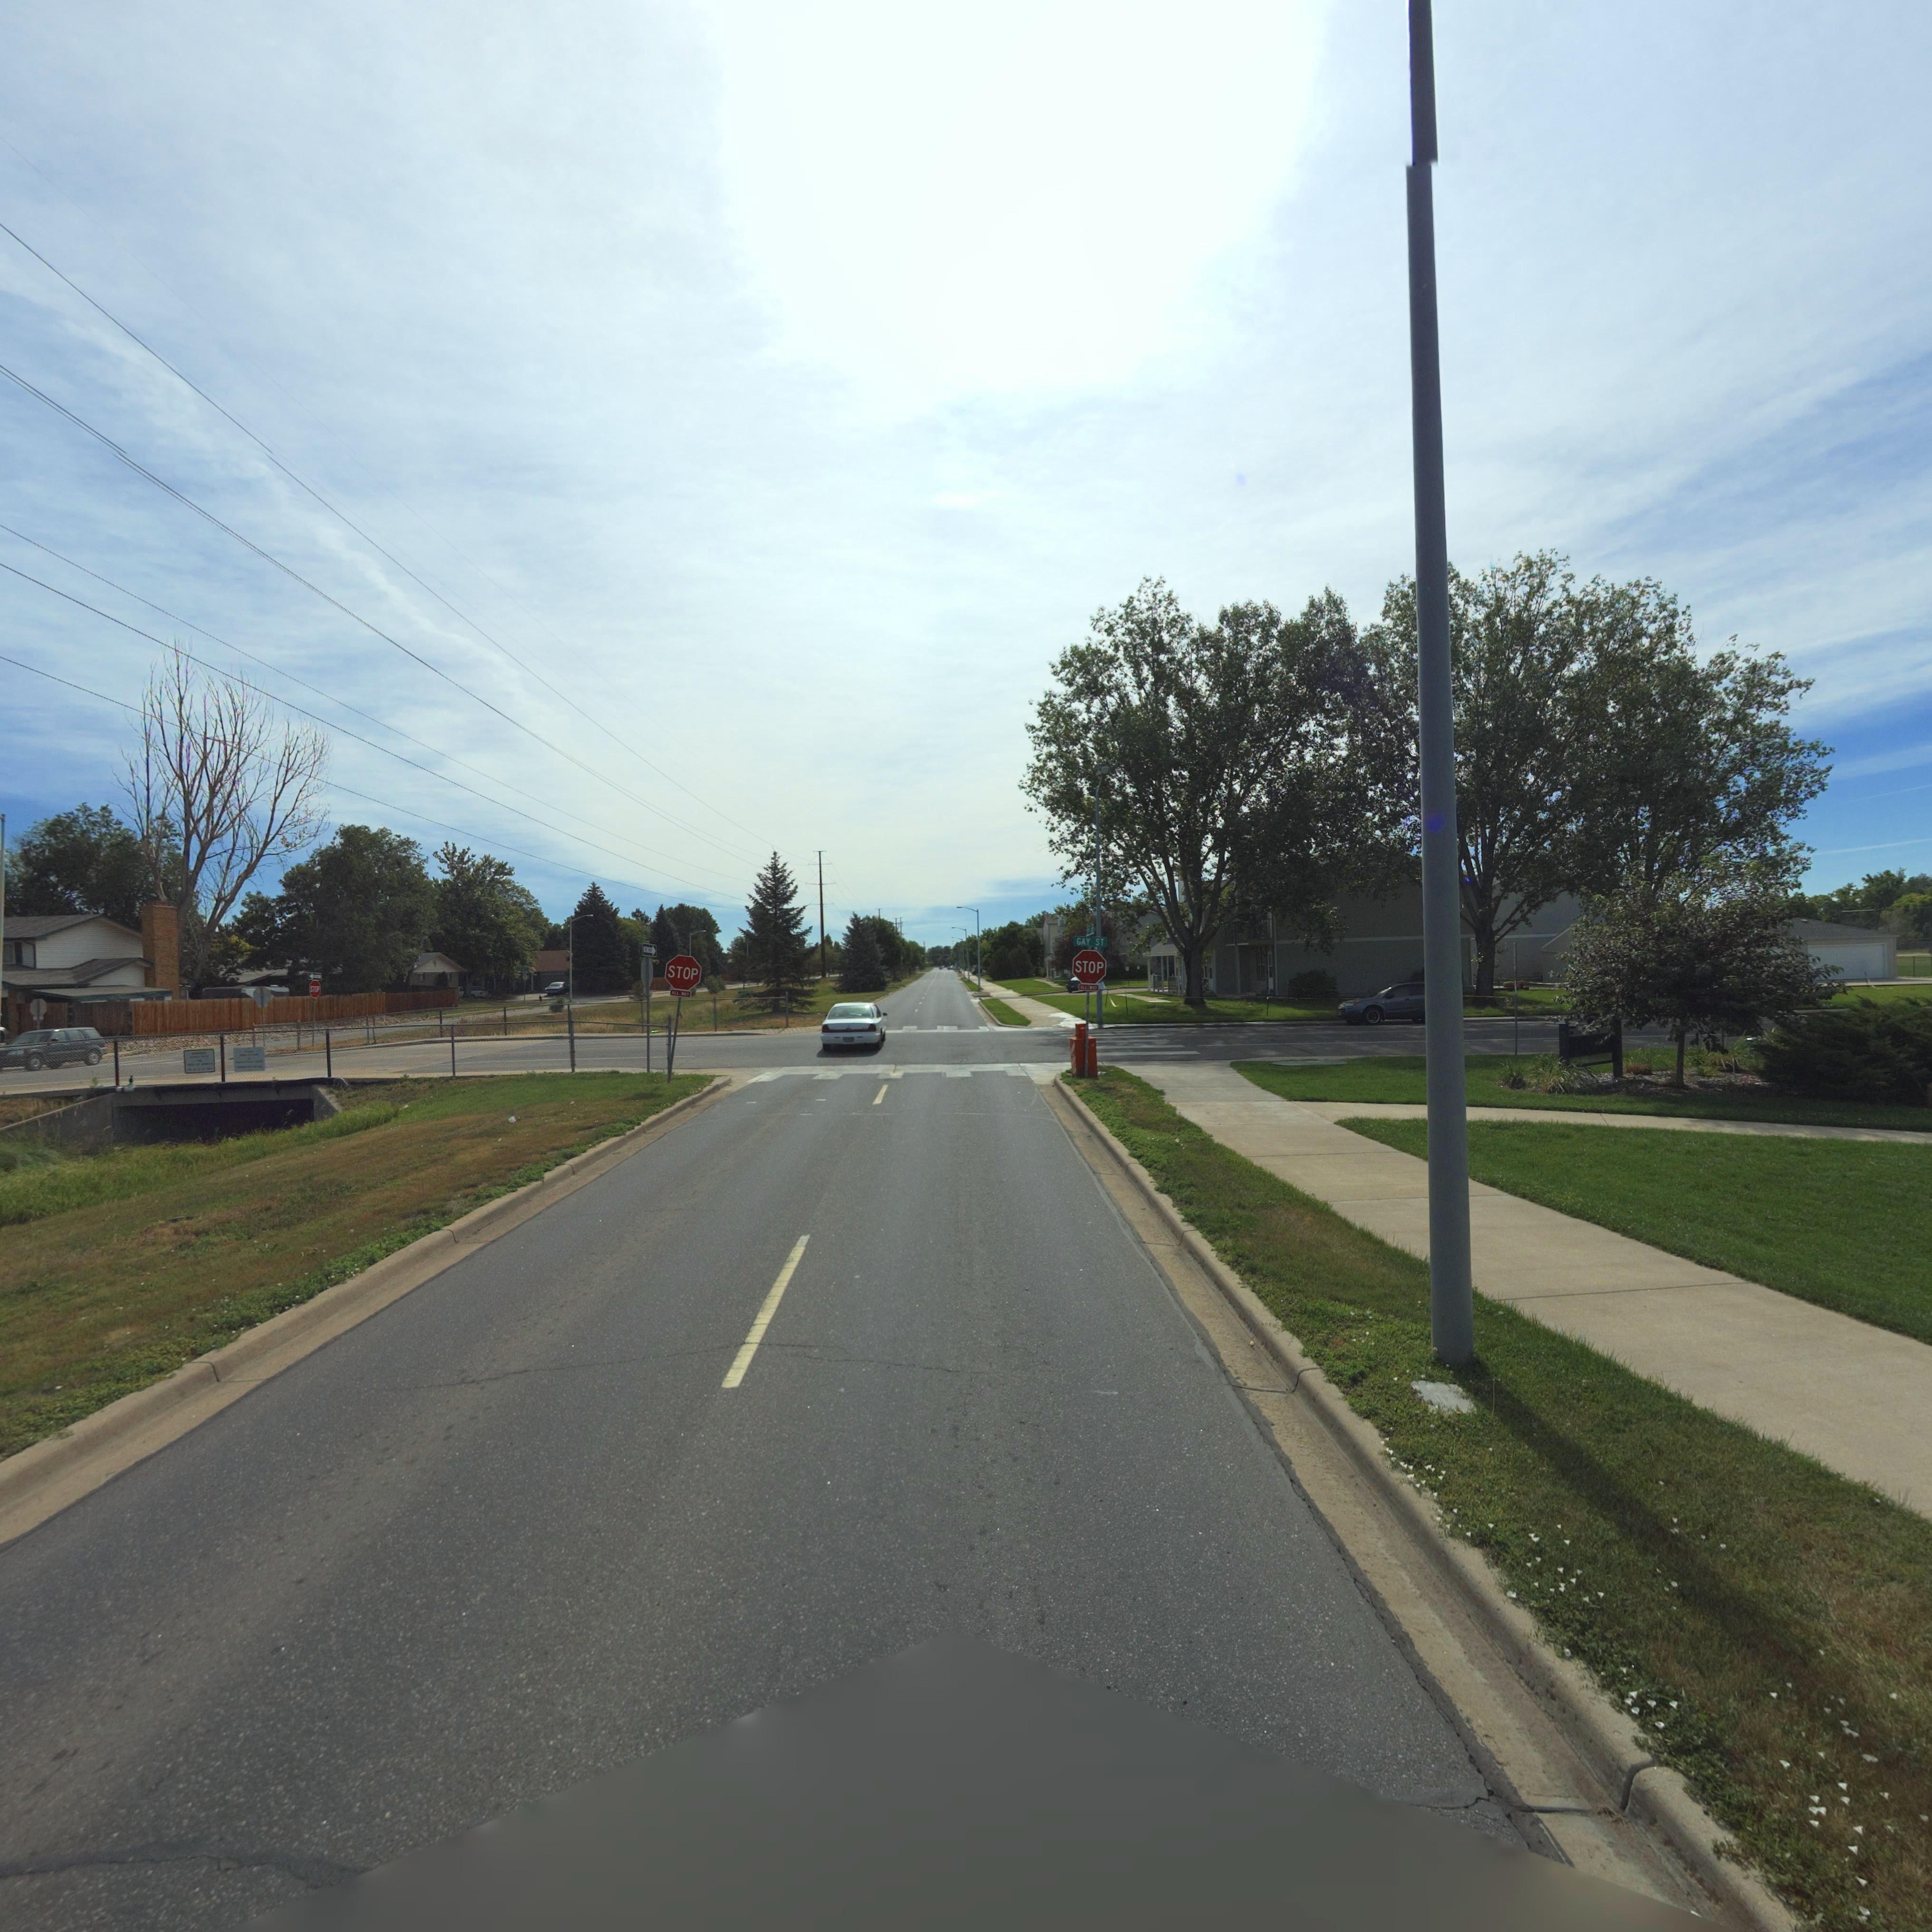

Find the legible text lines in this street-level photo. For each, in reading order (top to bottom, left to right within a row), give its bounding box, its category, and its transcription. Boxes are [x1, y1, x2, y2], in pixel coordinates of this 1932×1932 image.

[1076, 937, 1104, 947] StreetName: GAY ST